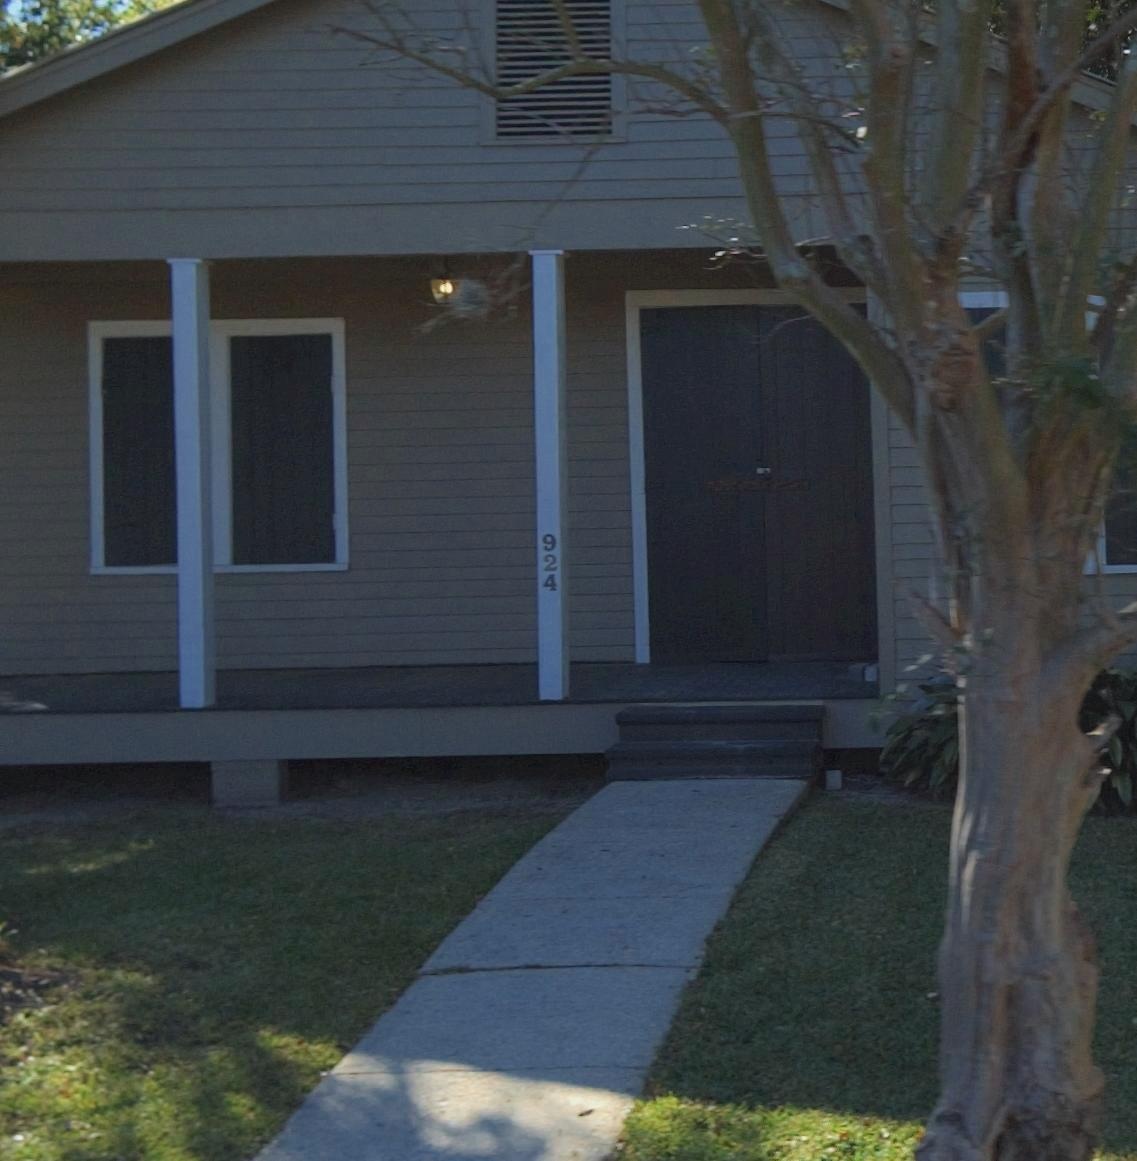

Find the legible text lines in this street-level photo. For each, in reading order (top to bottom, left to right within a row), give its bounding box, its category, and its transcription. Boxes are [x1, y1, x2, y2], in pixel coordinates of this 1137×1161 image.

[540, 531, 561, 594] StreetNumber: 924